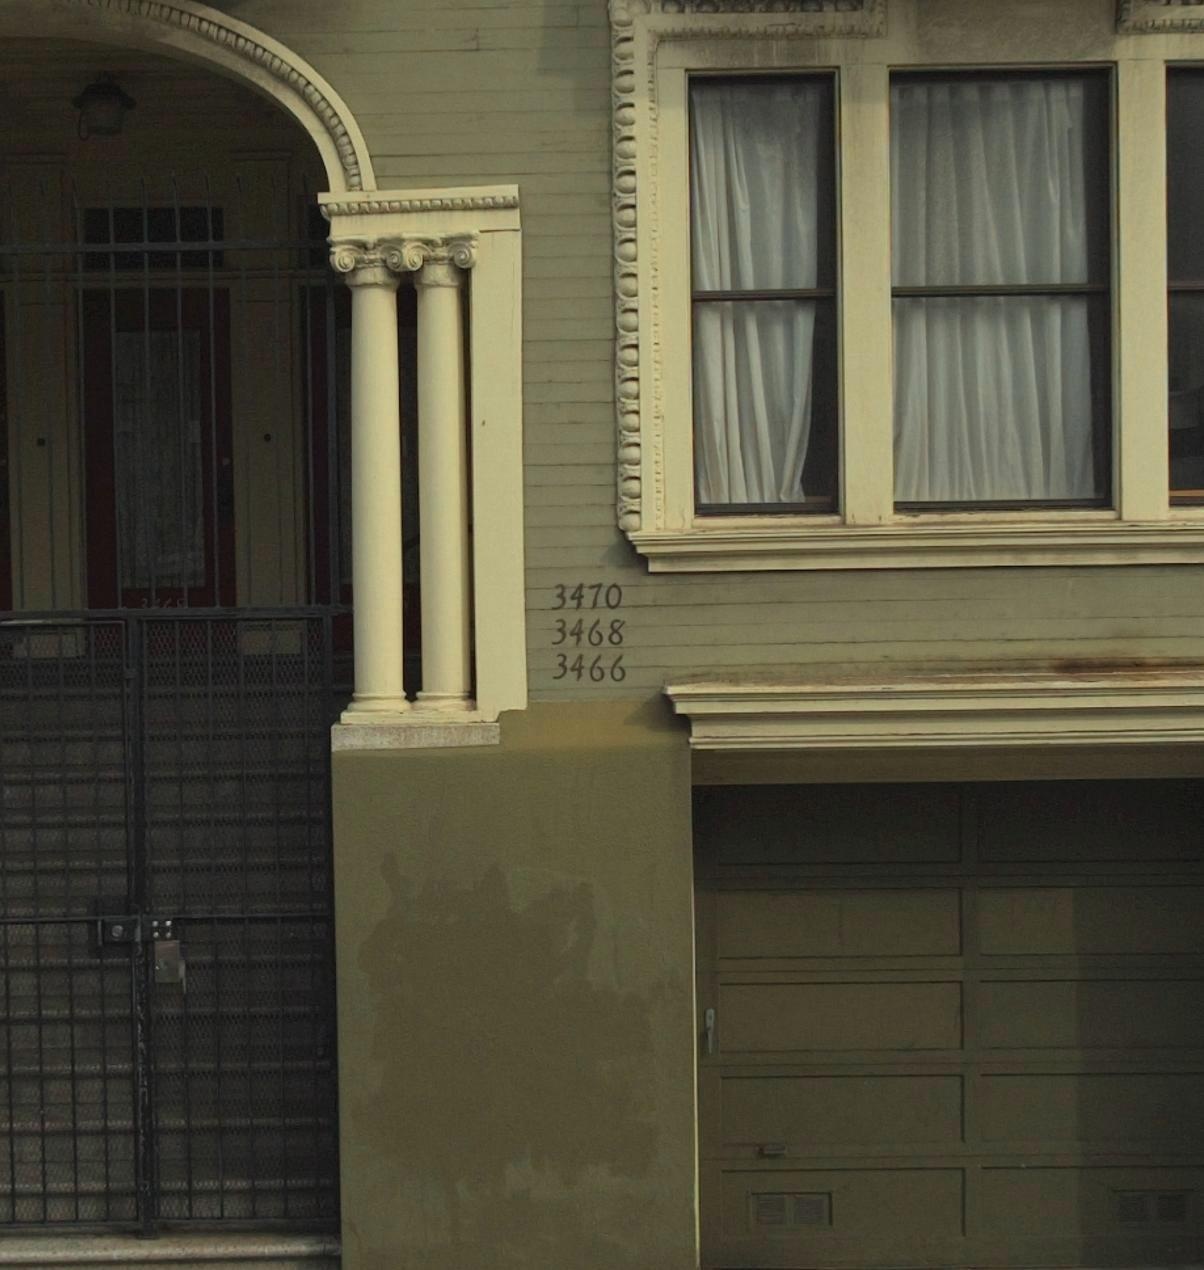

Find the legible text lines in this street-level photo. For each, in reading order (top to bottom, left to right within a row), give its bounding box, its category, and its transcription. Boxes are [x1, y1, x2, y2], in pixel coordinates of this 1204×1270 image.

[550, 581, 623, 612] StreetNumber: 3470
[550, 616, 627, 646] StreetNumber: 3468
[551, 651, 627, 682] StreetNumber: 3466